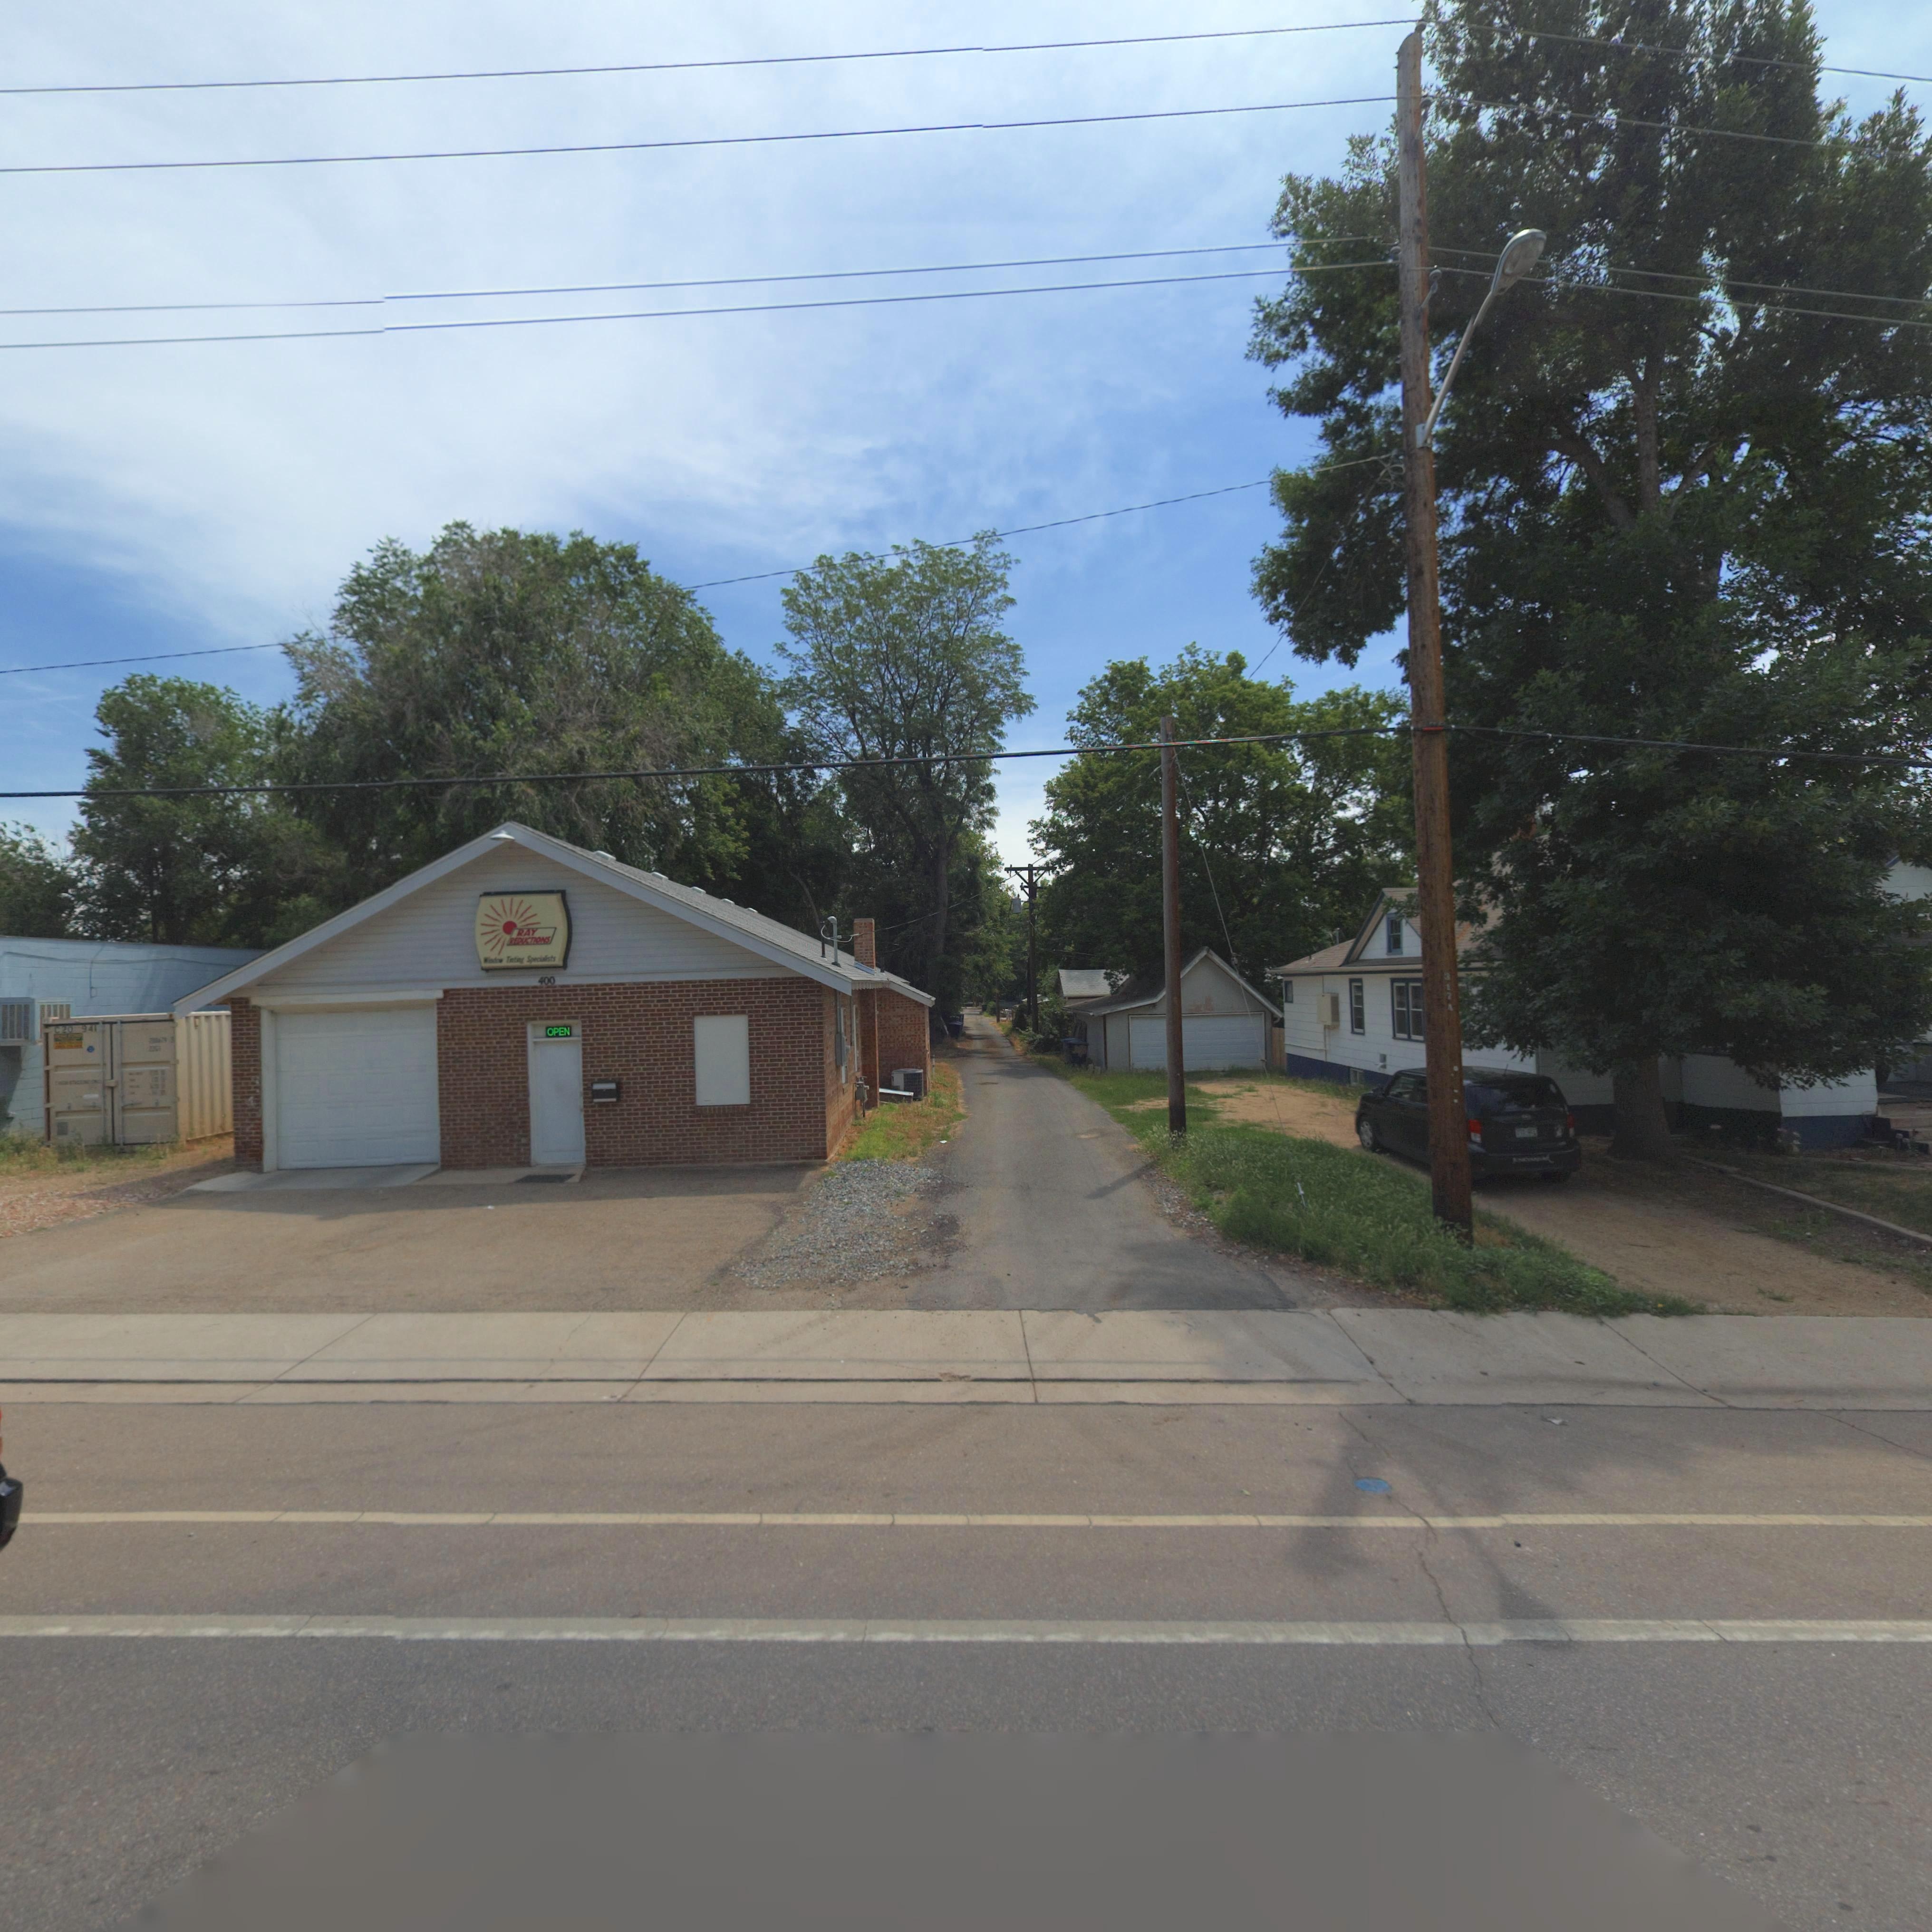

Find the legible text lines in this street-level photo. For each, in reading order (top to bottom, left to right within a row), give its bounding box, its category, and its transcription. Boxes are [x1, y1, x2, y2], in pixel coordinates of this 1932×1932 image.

[516, 928, 539, 937] BusinessName: RAY
[508, 936, 551, 944] BusinessName: REDUCTIONS
[538, 976, 555, 985] StreetNumber: 400